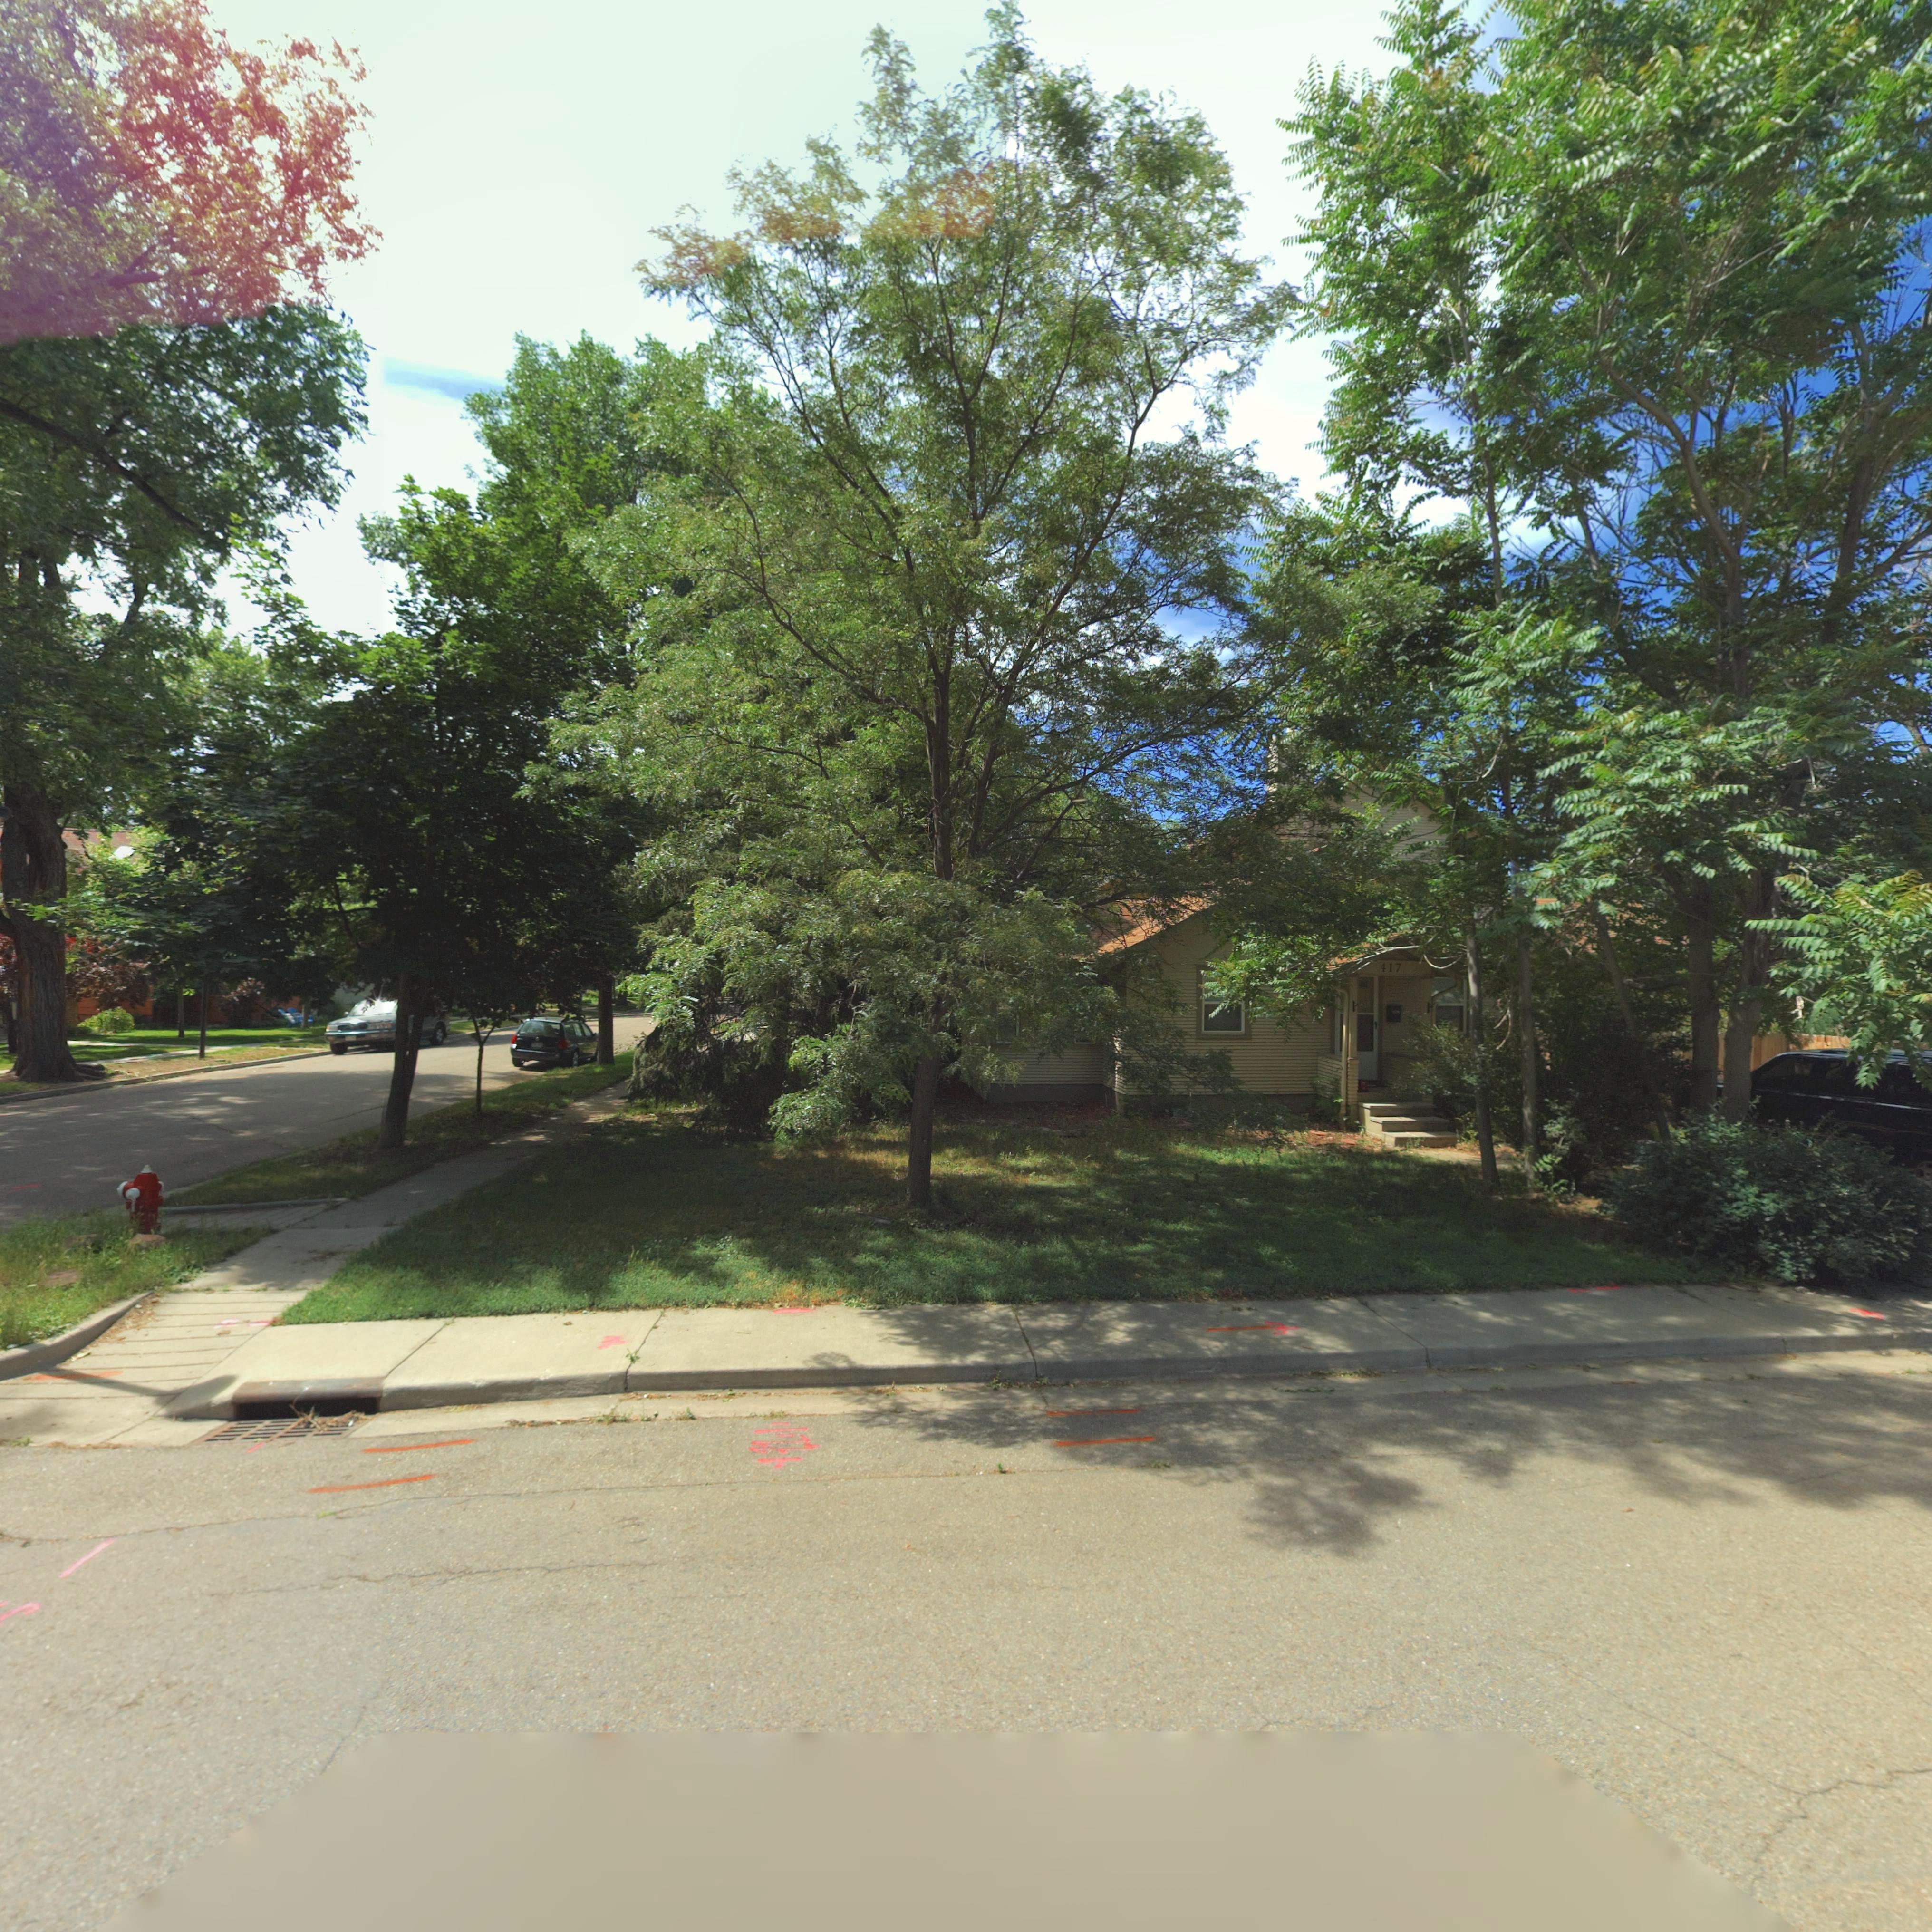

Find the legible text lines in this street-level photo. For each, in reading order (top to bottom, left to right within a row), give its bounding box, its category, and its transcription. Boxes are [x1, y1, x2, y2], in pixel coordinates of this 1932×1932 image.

[1380, 962, 1401, 973] StreetNumber: 417